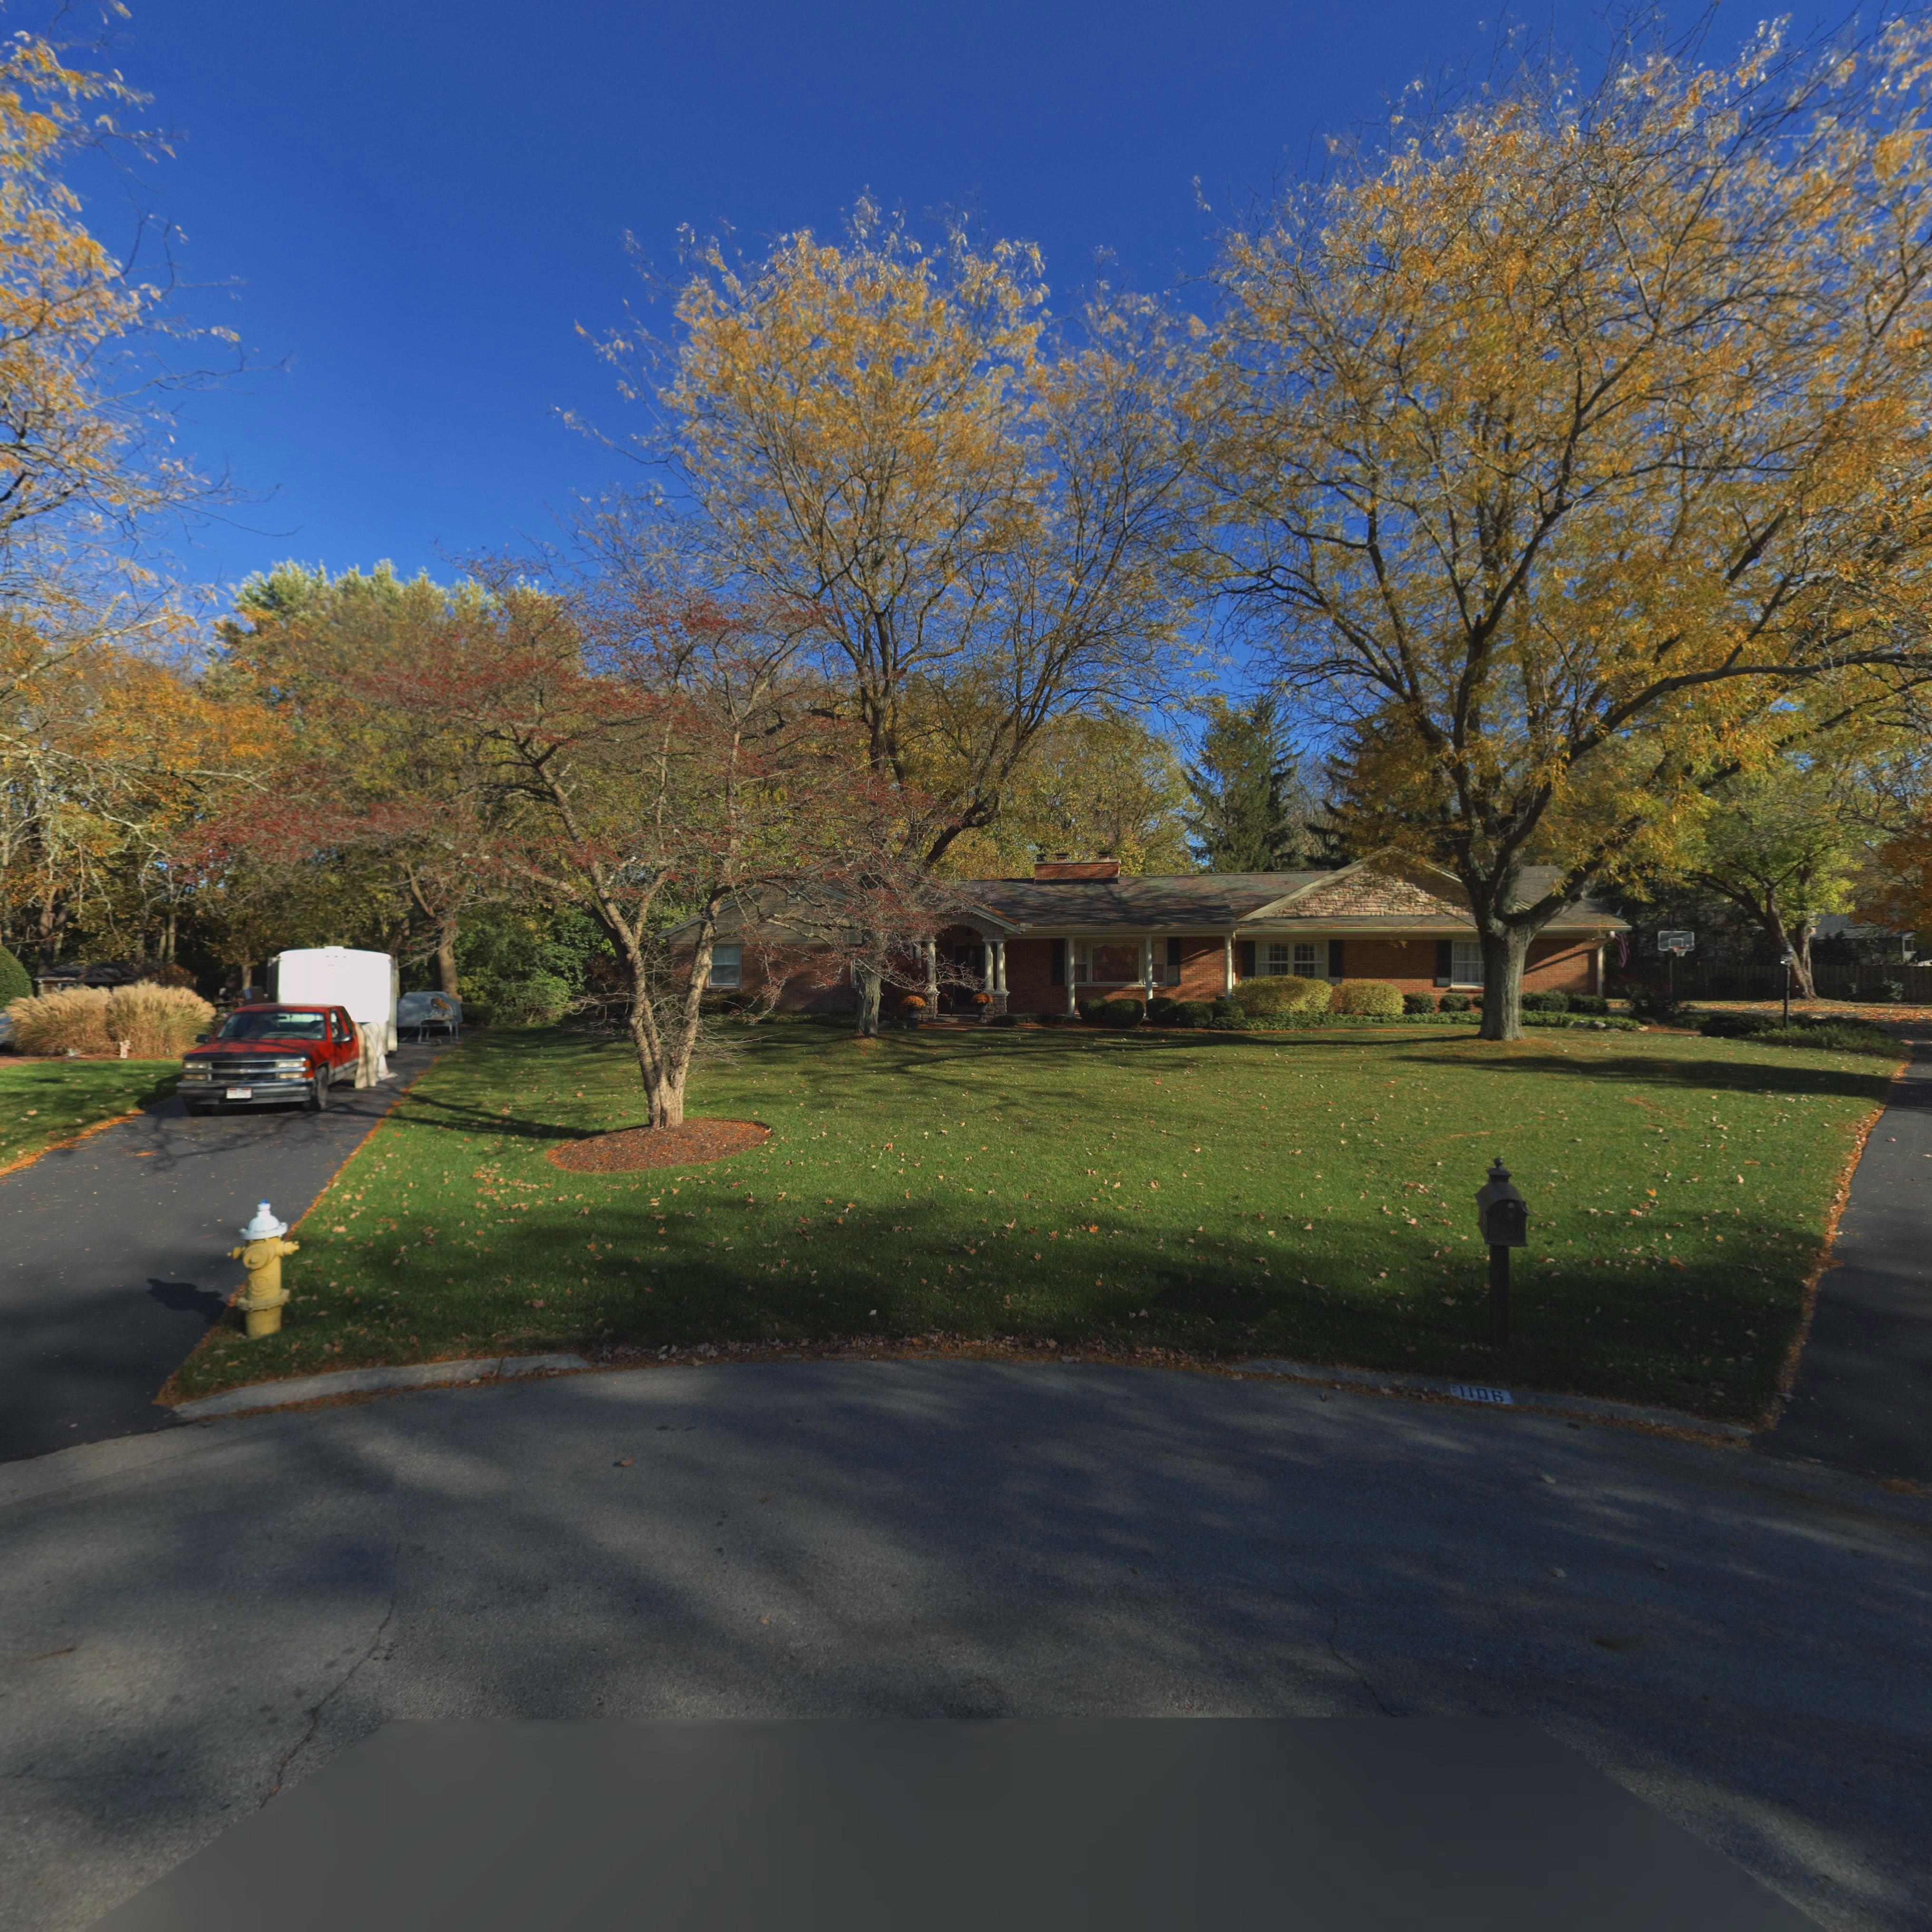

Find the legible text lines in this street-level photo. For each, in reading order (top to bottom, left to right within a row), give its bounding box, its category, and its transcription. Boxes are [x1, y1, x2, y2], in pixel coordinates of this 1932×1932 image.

[1458, 1385, 1505, 1404] StreetNumber: 1106